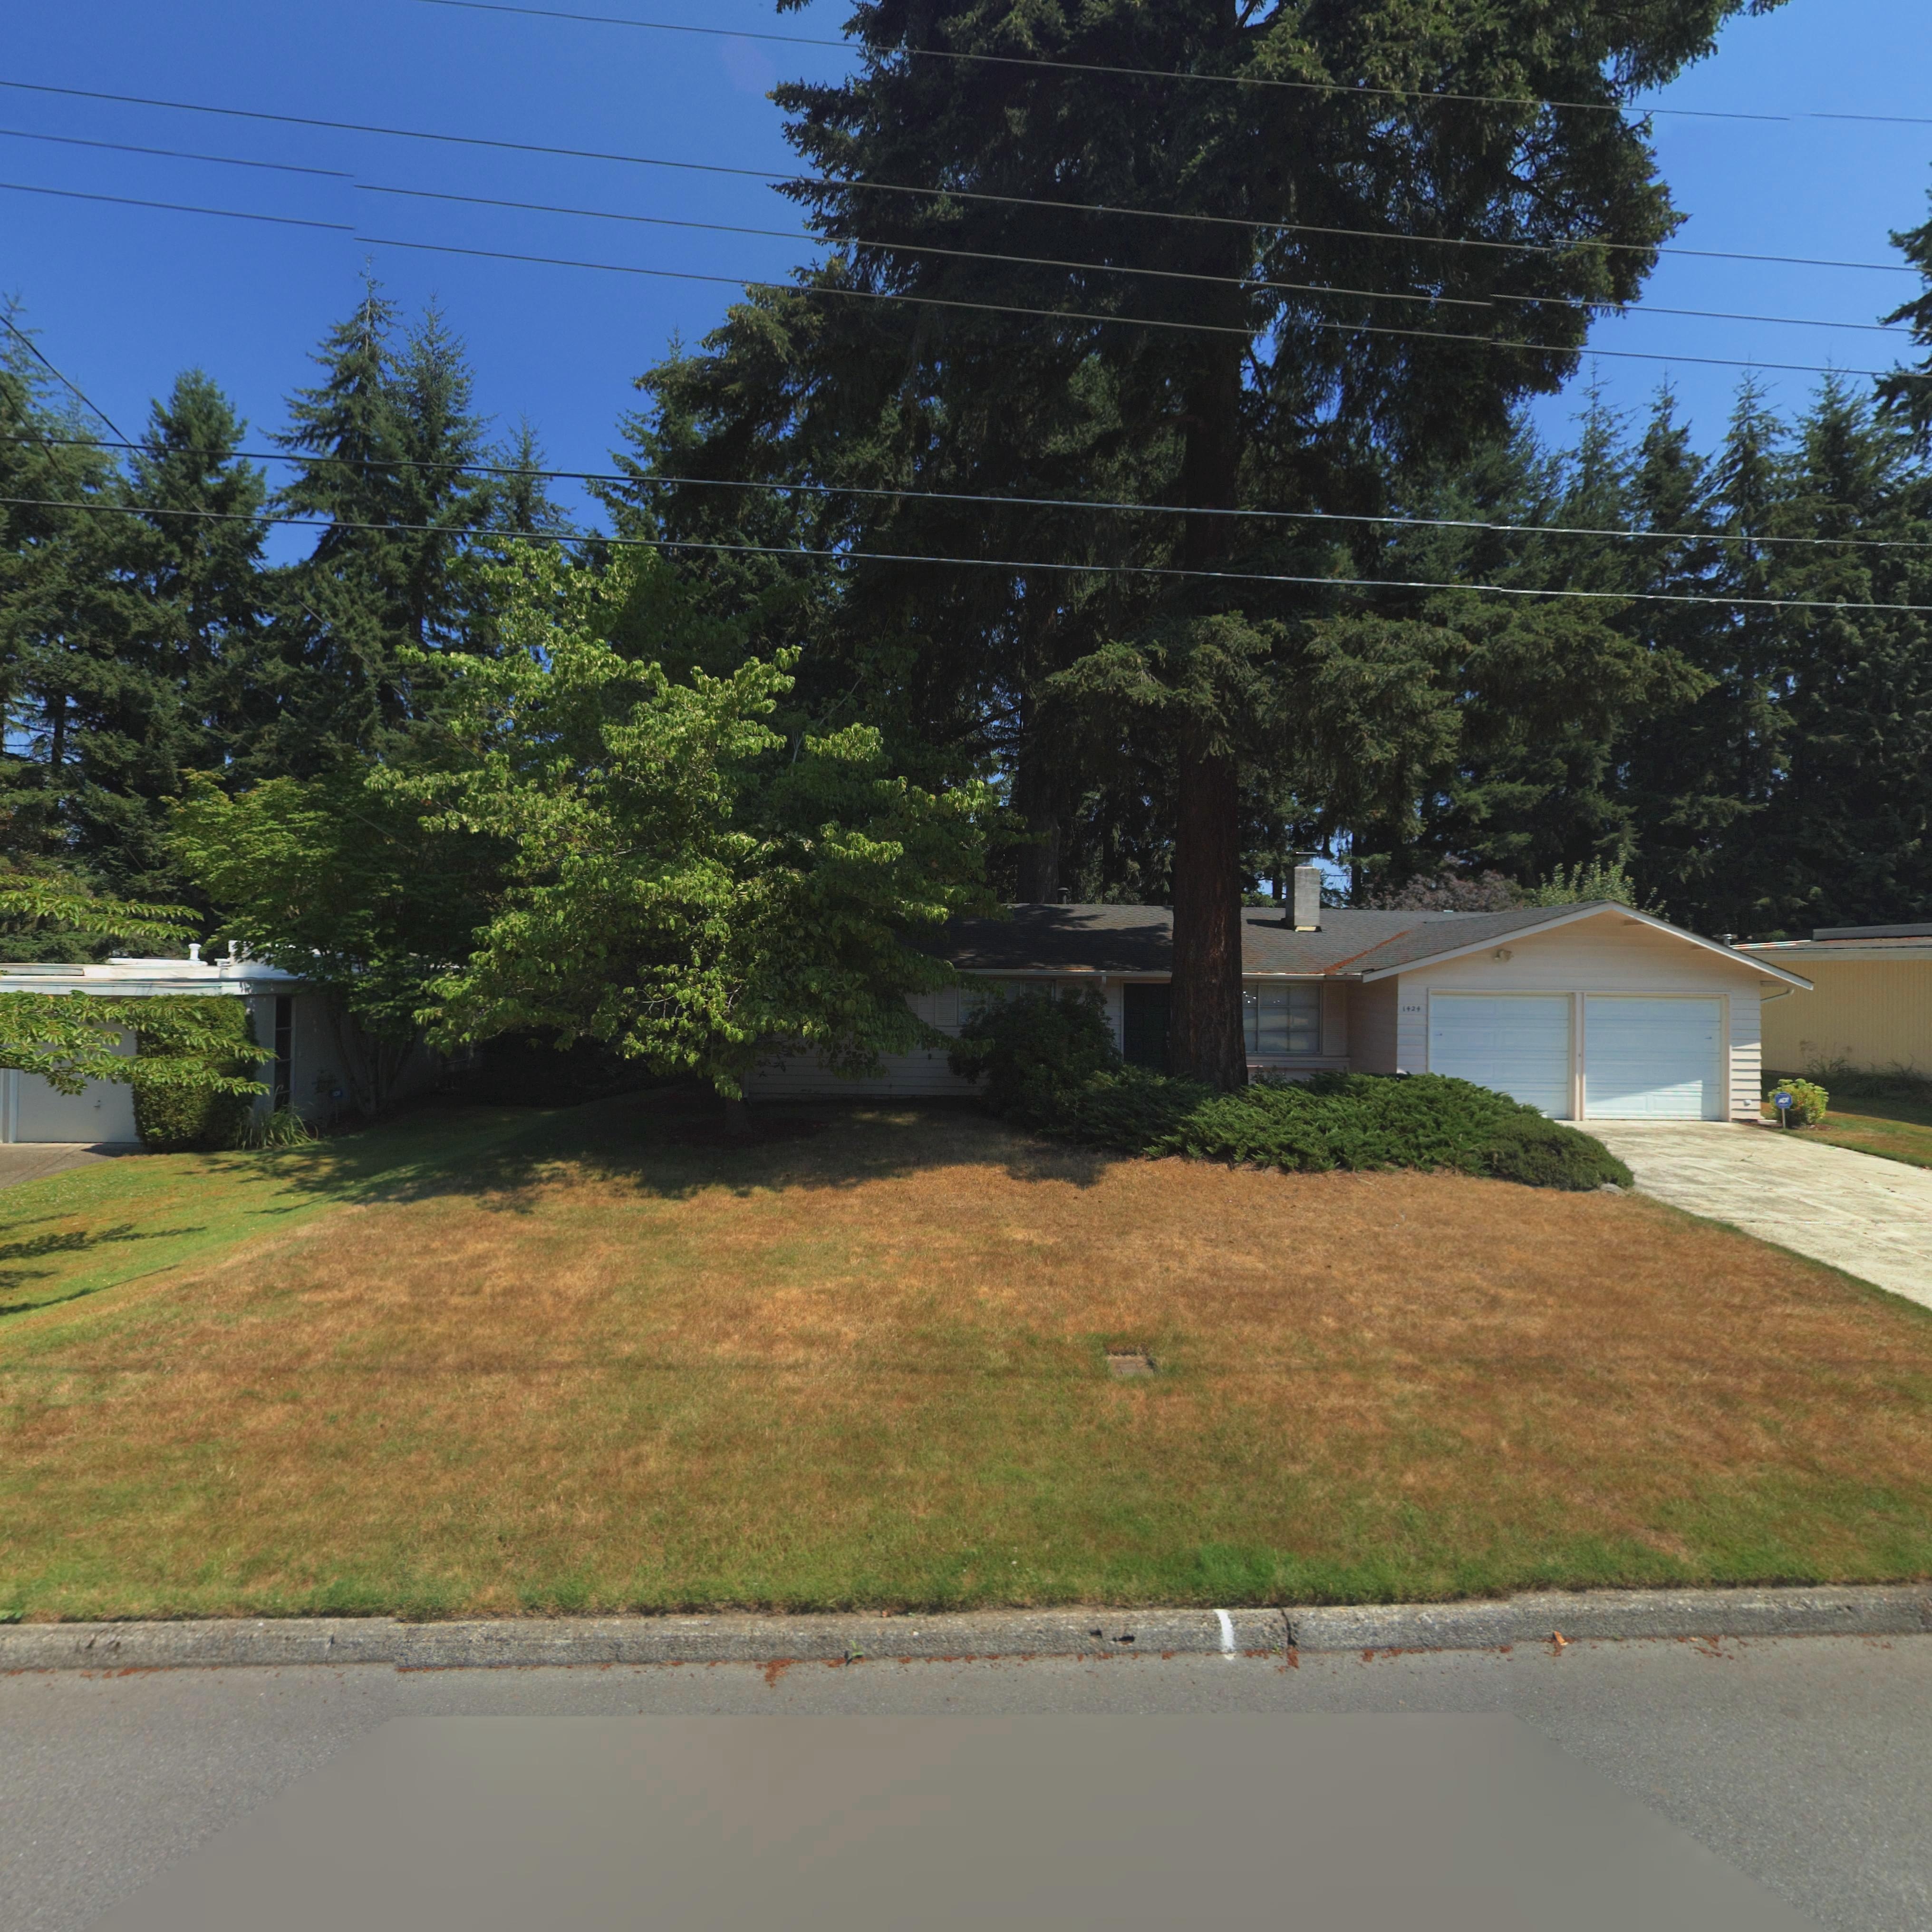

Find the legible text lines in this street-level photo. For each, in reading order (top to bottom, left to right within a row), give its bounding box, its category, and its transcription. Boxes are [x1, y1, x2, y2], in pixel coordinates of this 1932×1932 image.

[1402, 1005, 1420, 1012] StreetNumber: 1424